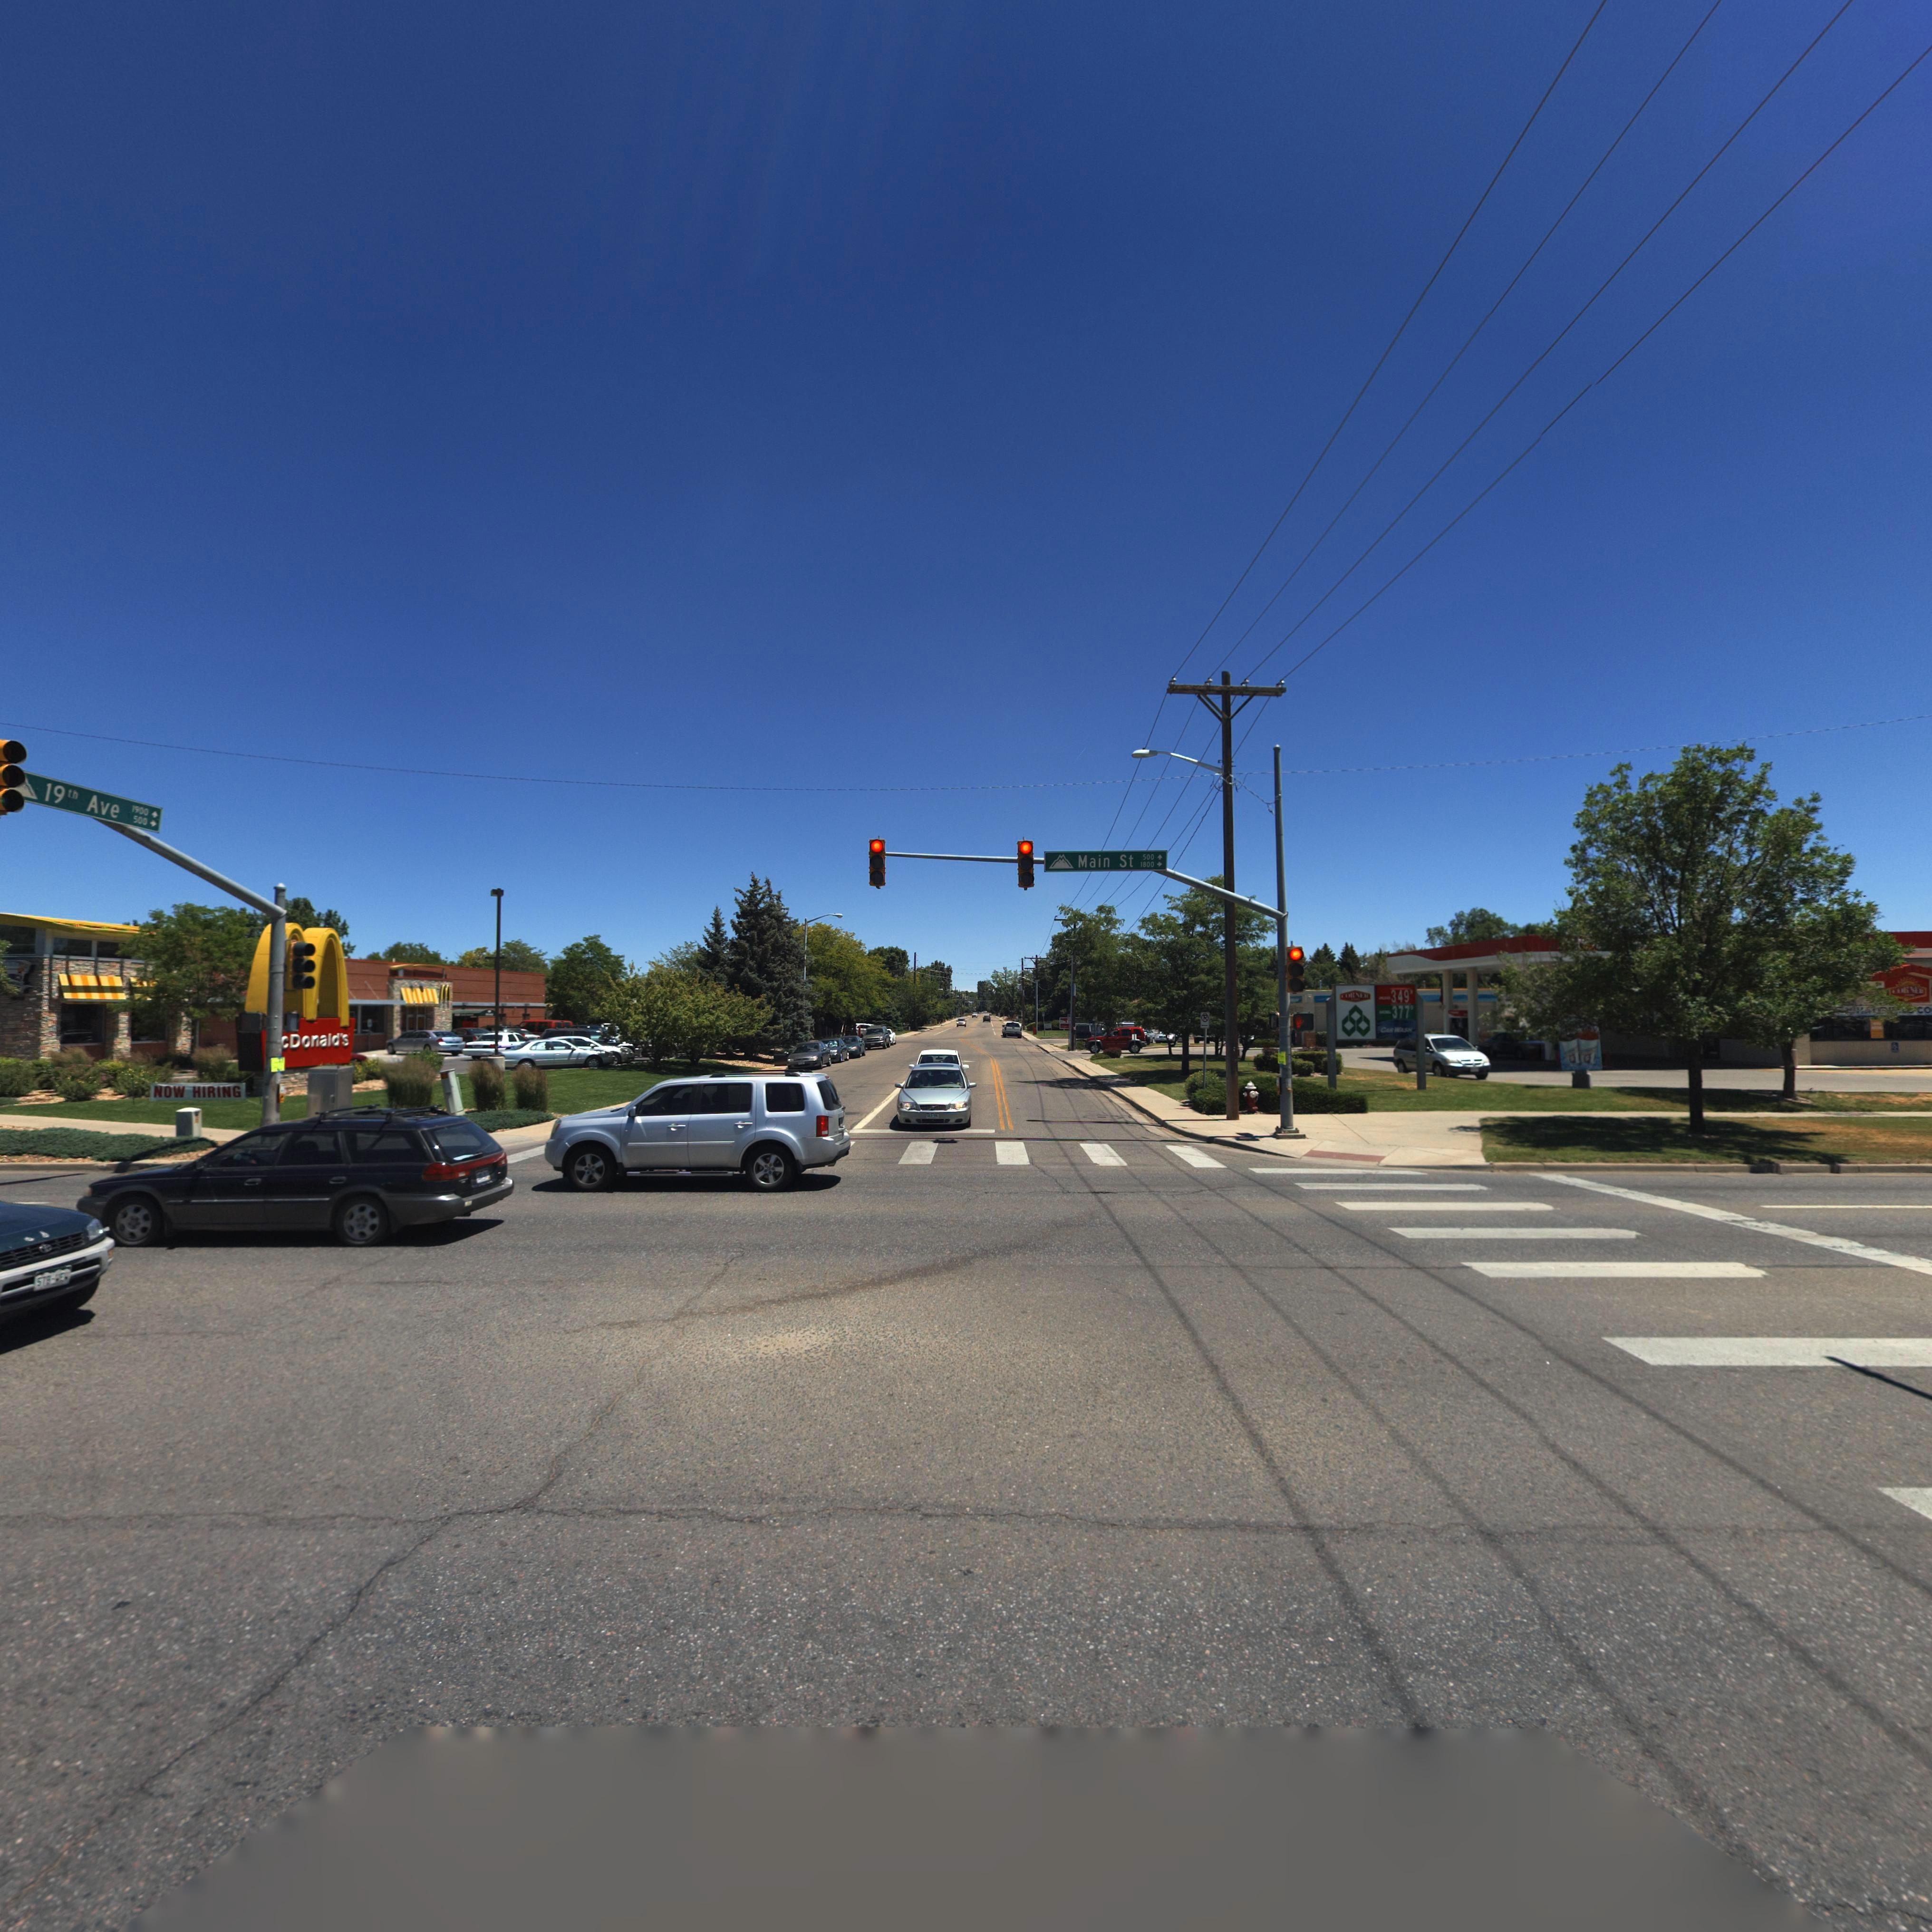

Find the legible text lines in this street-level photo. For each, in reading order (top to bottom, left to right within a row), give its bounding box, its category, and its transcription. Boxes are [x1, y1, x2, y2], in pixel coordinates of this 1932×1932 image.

[44, 782, 120, 819] StreetName: 19th Ave
[131, 804, 149, 816] StreetNumberRange: 1*00
[133, 814, 157, 827] StreetNumberRange: 500 ->
[1078, 854, 1133, 868] StreetName: Main St
[1142, 854, 1154, 860] StreetNumberRange: 500
[1140, 860, 1162, 868] StreetName: 1800 ->
[1341, 991, 1369, 998] BusinessName: CORNER
[1892, 984, 1924, 994] BusinessName: CORNER
[281, 1032, 349, 1050] BusinessName: cDonald's